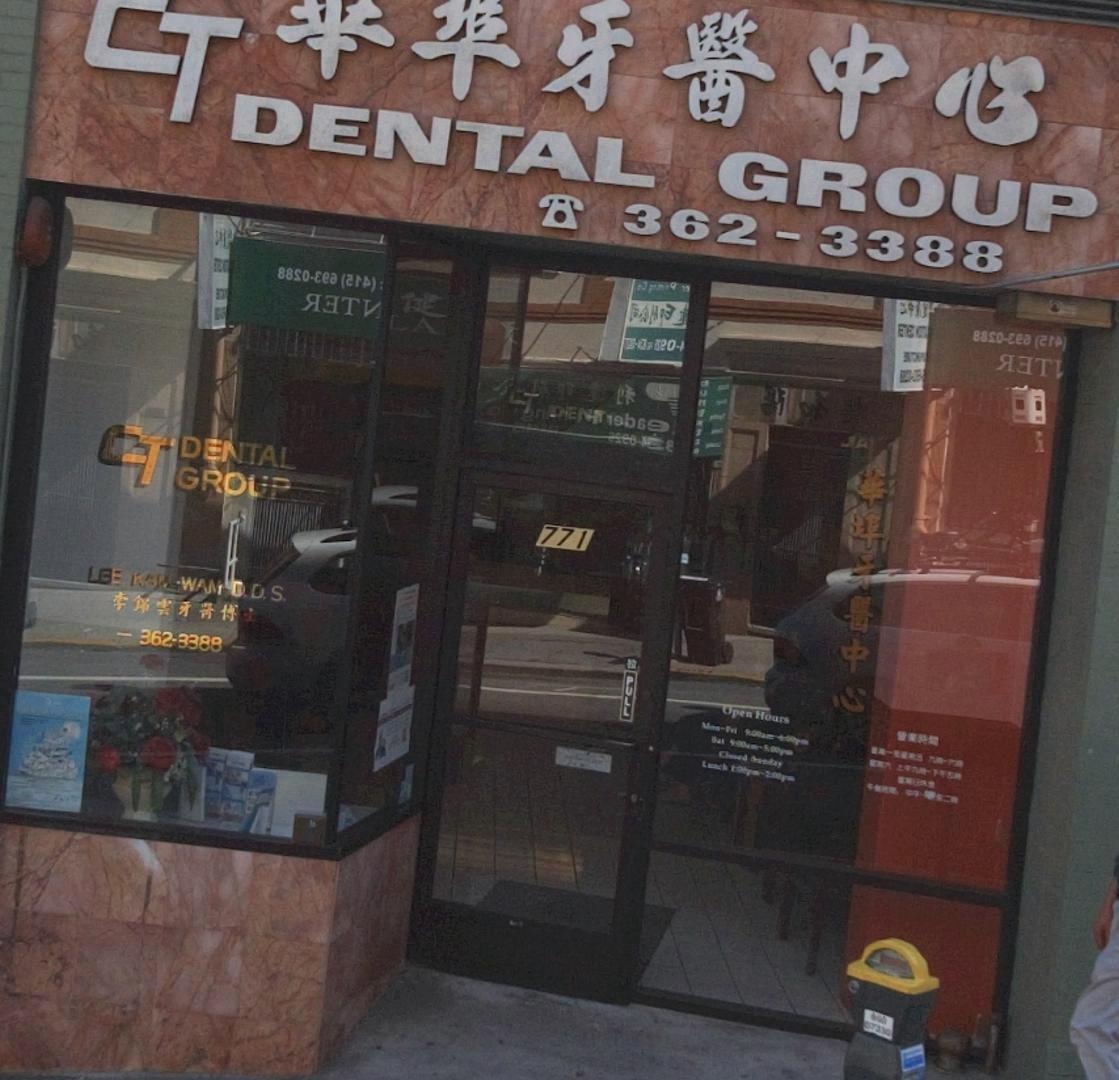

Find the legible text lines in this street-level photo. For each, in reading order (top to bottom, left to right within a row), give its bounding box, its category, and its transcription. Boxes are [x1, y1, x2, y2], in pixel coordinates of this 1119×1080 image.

[228, 89, 1100, 237] BusinessName: DENTAL GROUP
[619, 201, 1006, 276] None: 362-3388
[276, 265, 385, 294] None: 88*0-*** (***):
[299, 291, 384, 321] None: **T*
[970, 327, 1068, 353] None: 88*0-***(***)
[993, 351, 1057, 380] None: **T
[95, 422, 179, 489] BusinessName: CT
[179, 433, 298, 472] BusinessName: DENTAL
[172, 463, 294, 502] BusinessName: GROUP
[536, 523, 591, 551] StreetNumber: 771
[83, 563, 288, 606] None: LEE KAM-WAM D.D.S.
[137, 627, 225, 655] None: 362-3388
[621, 673, 635, 719] None: PULL
[720, 703, 792, 726] None: Open Hours
[708, 733, 761, 753] None: Sat 9:00am
[698, 719, 776, 743] None: Mon-Fri 9:00am